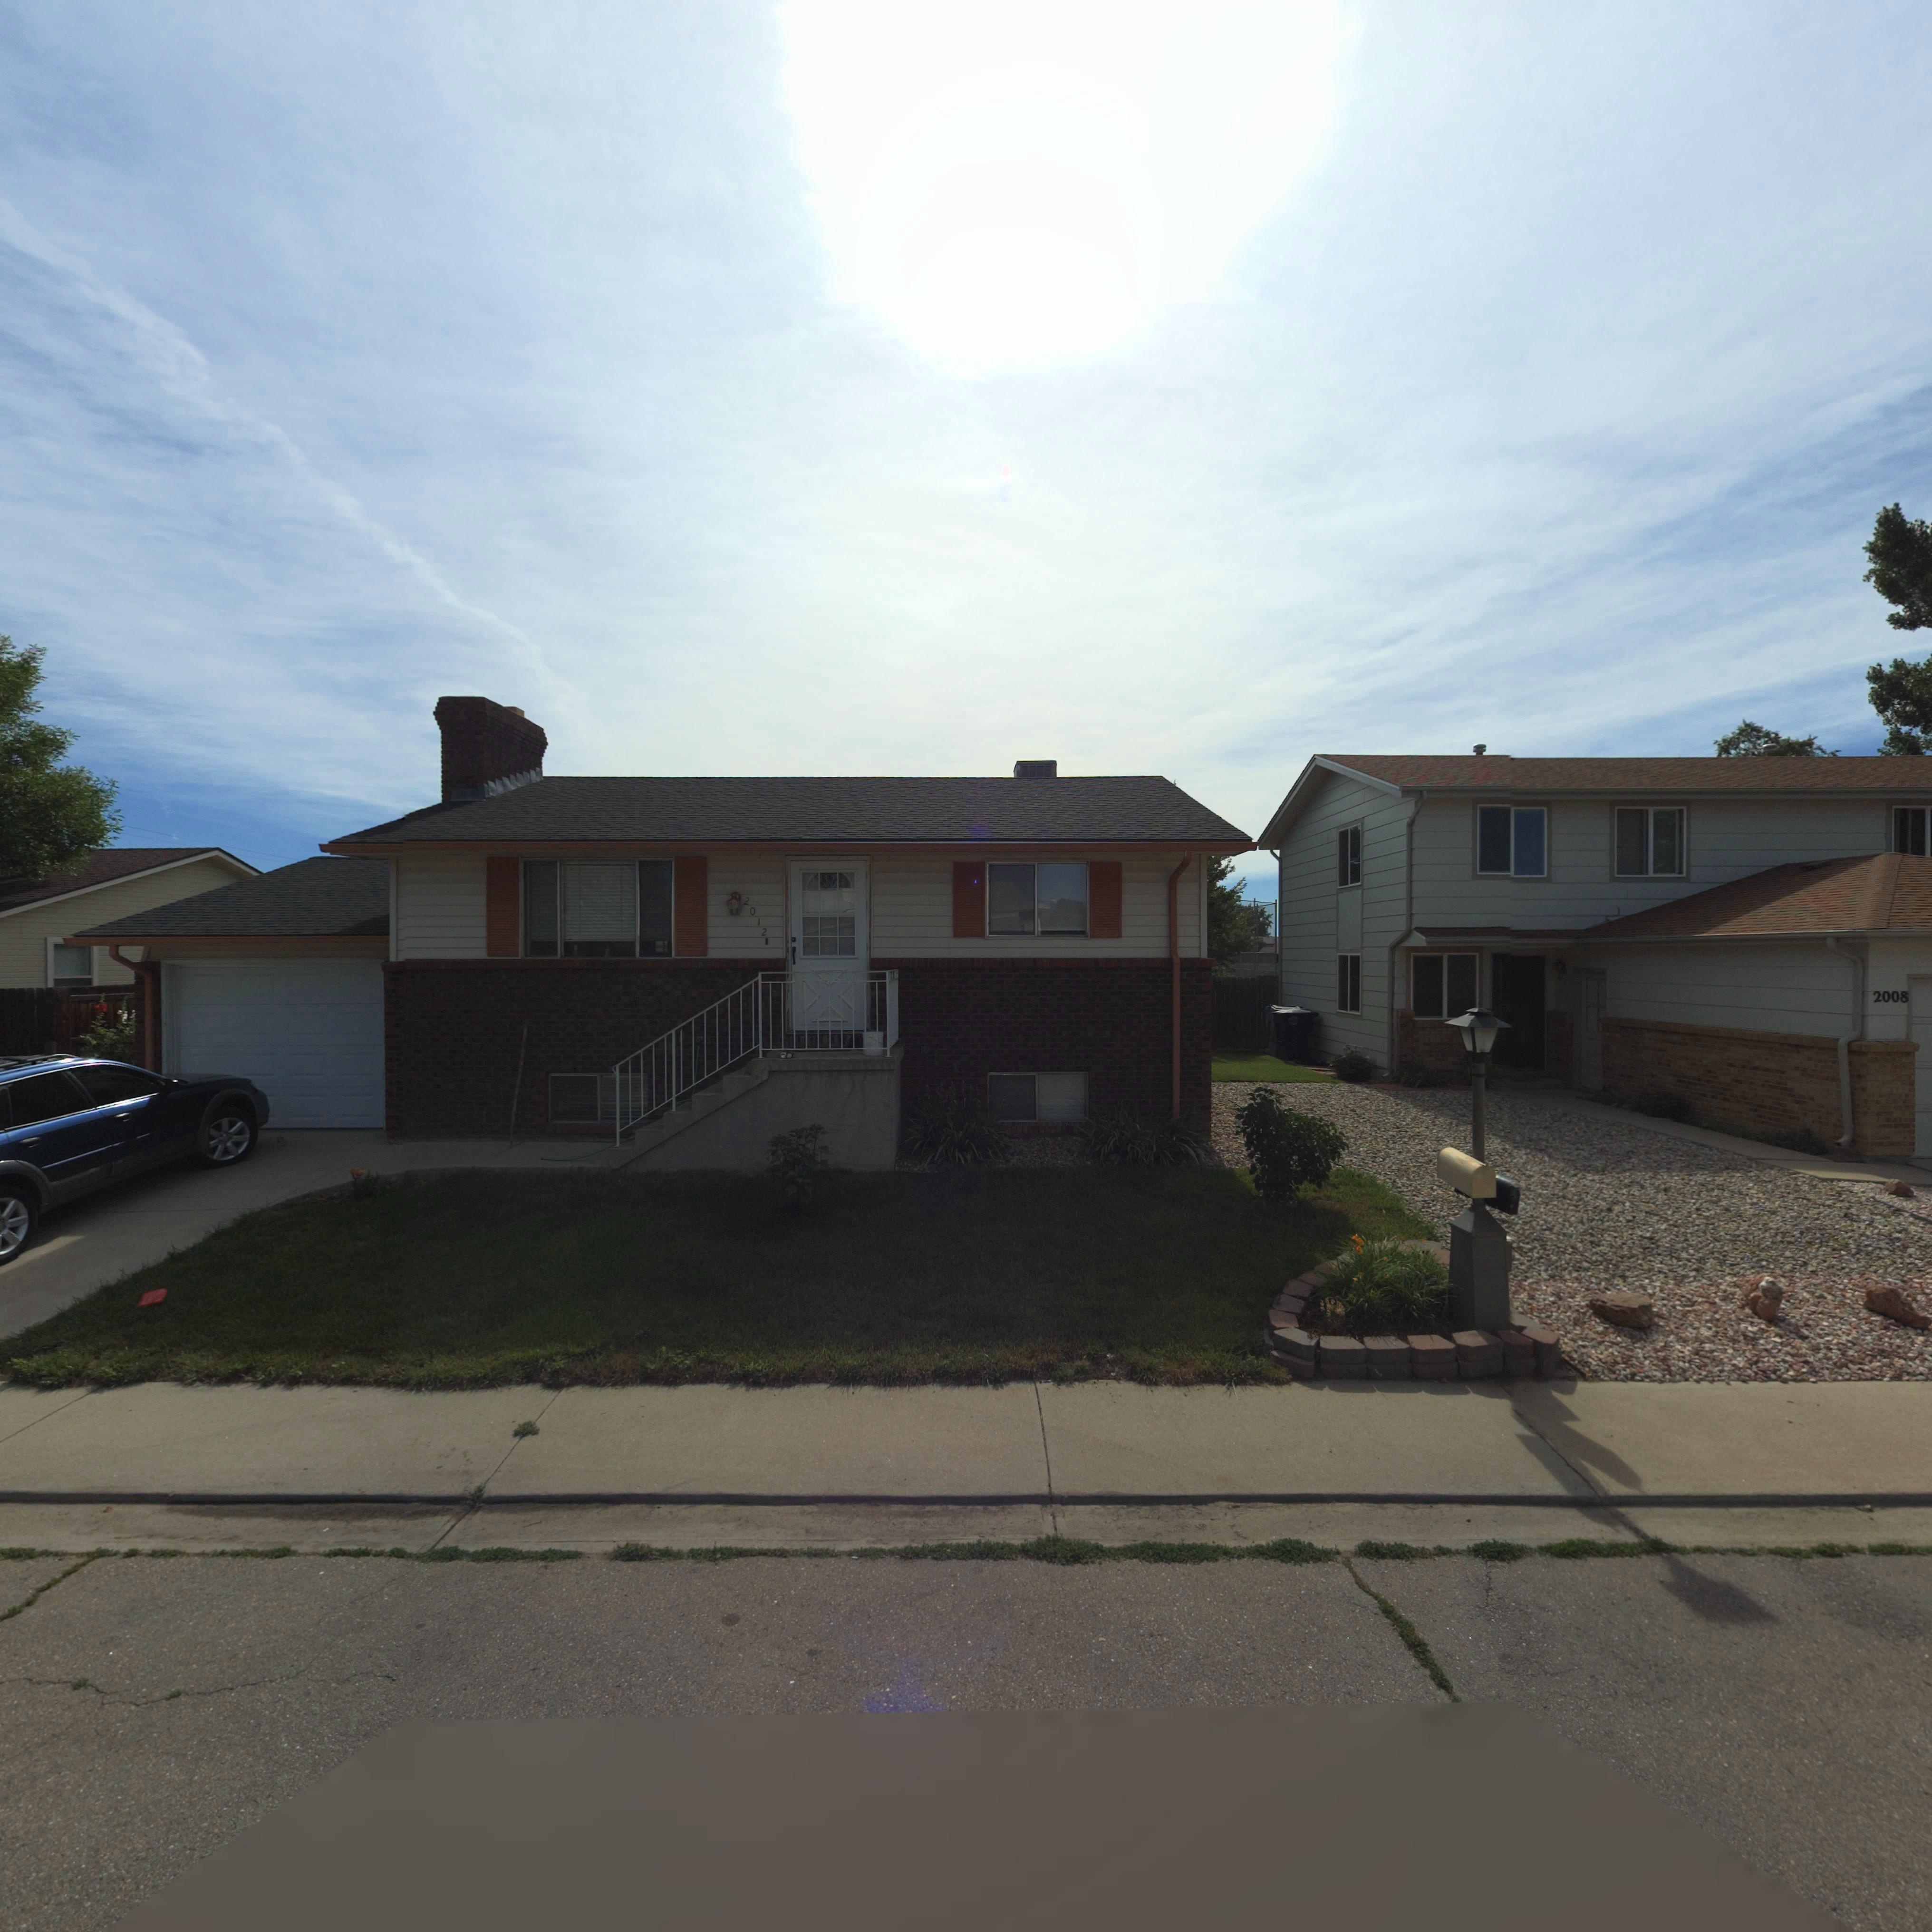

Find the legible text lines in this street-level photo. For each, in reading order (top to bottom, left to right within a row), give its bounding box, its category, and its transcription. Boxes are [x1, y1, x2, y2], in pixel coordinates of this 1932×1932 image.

[742, 895, 768, 937] StreetNumber: 2012
[1874, 991, 1909, 1003] StreetNumber: 2008